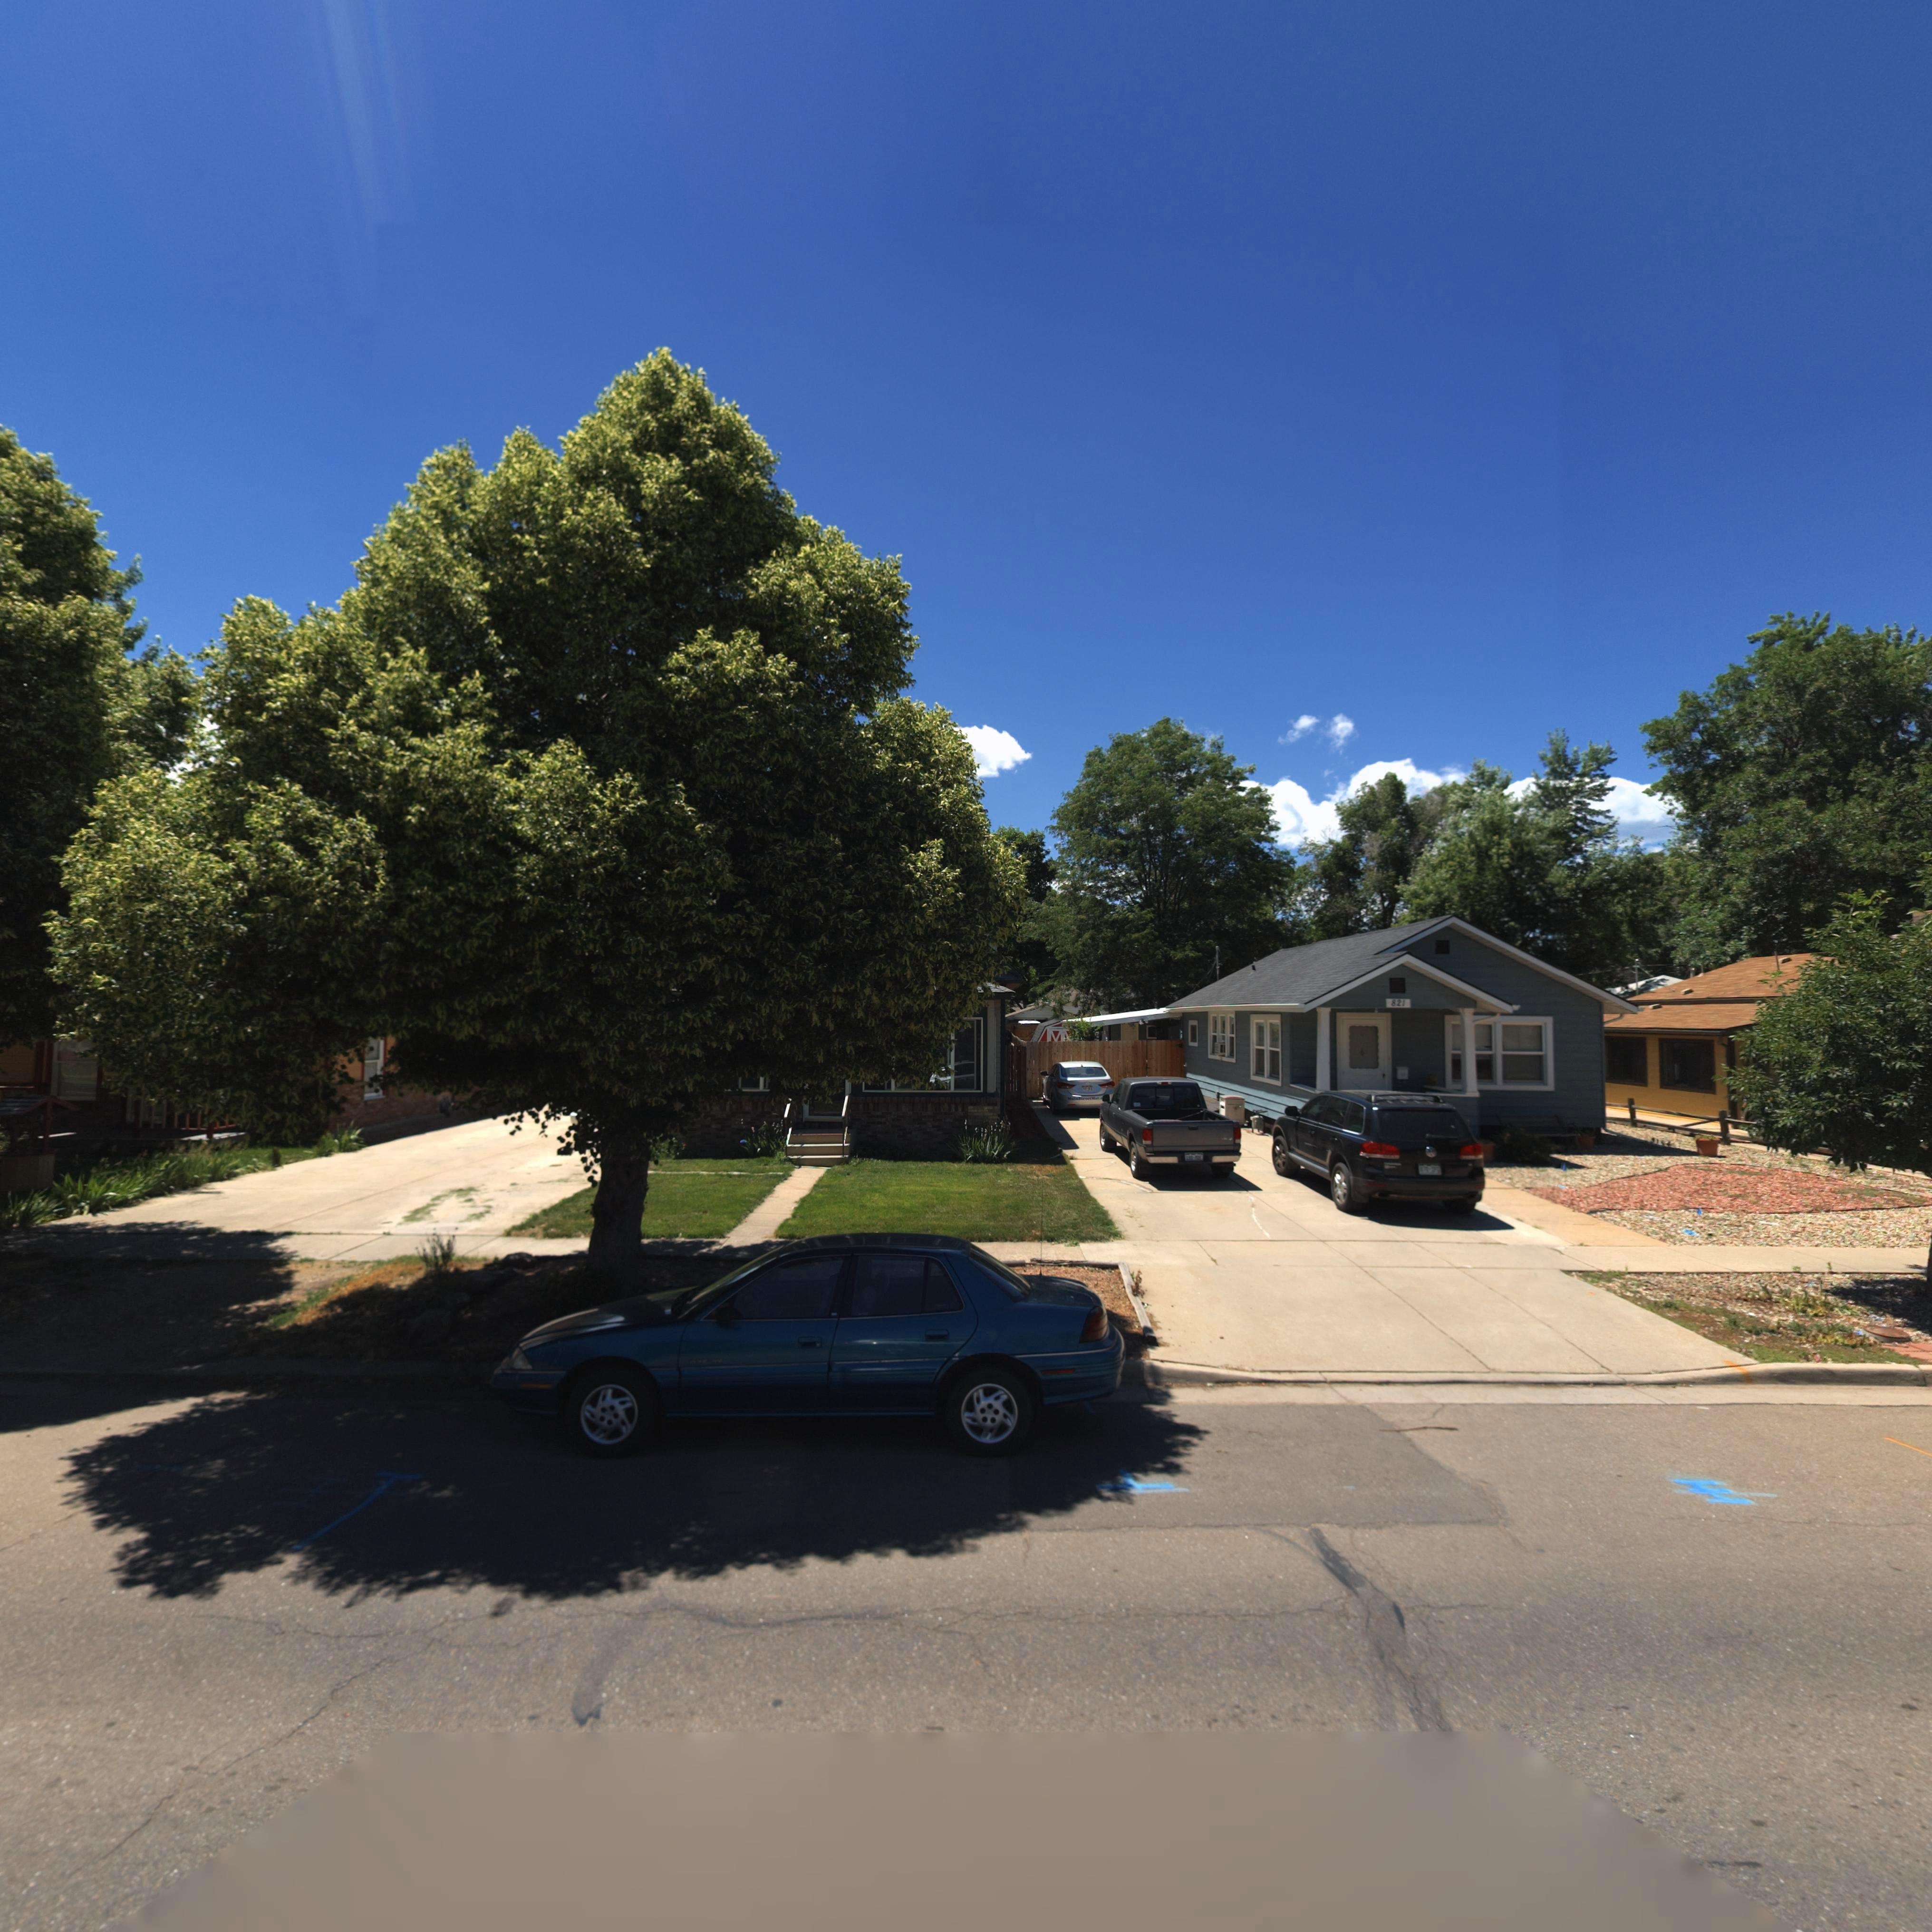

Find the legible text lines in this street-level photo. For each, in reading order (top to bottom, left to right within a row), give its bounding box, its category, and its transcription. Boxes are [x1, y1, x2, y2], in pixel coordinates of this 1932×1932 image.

[1391, 999, 1405, 1006] StreetNumber: 821